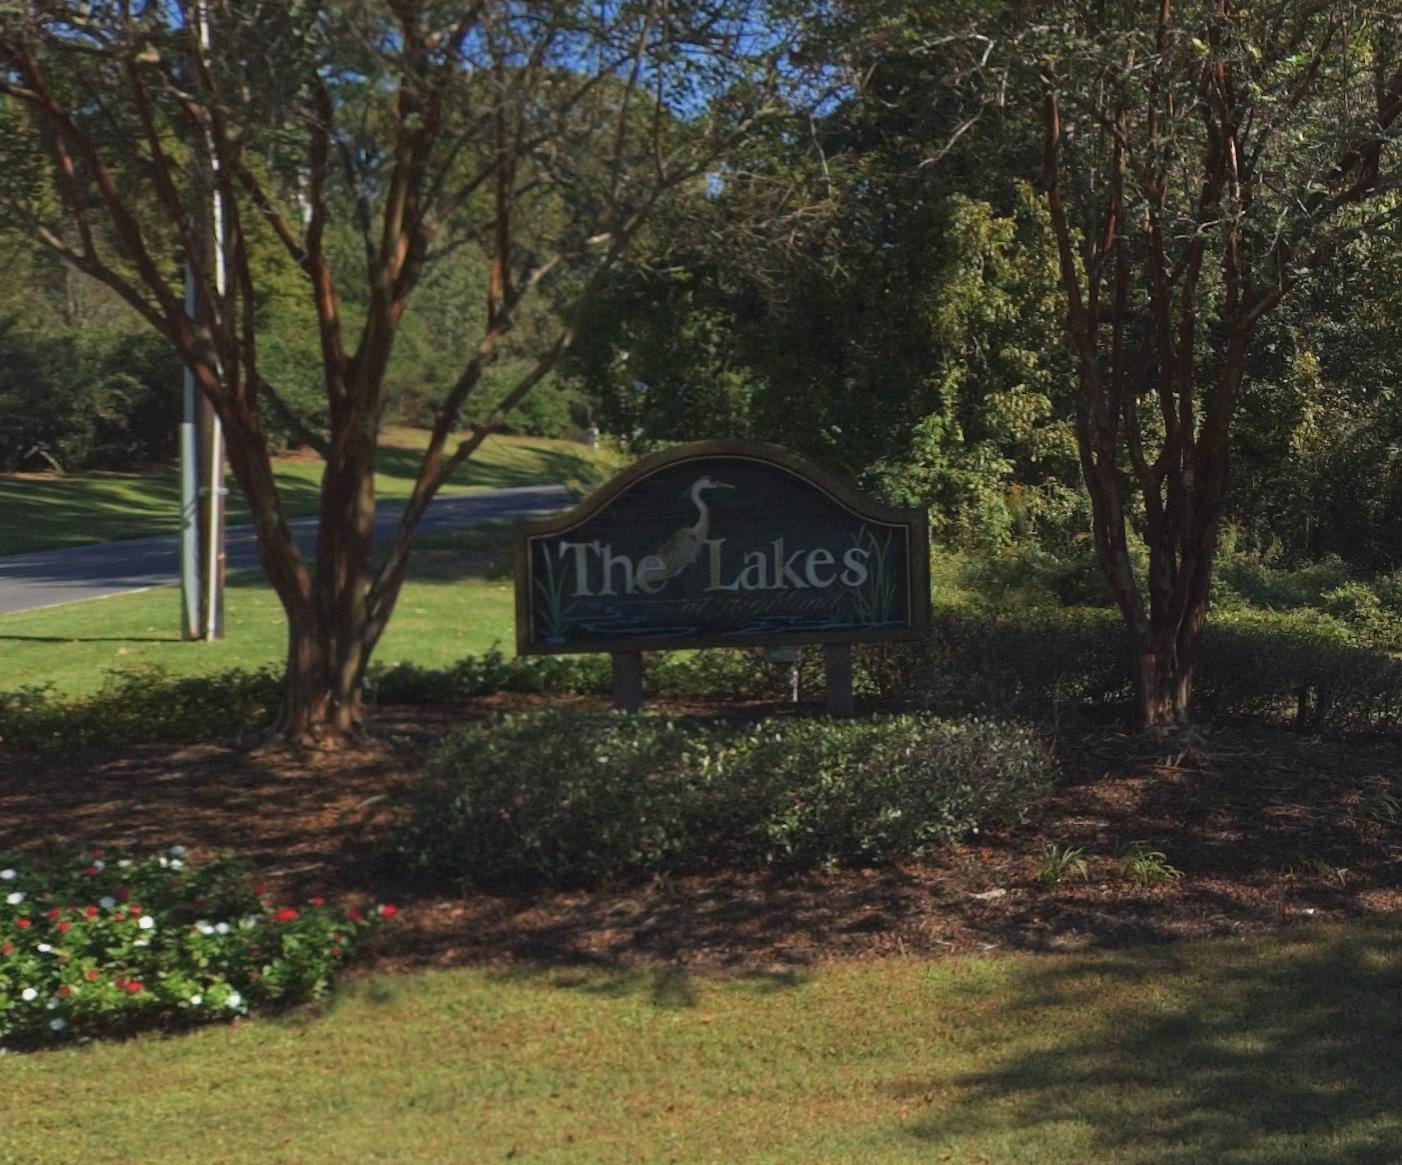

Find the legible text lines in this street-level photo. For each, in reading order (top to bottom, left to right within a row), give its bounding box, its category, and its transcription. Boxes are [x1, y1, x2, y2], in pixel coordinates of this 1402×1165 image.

[557, 534, 871, 599] BusinessName: The Lakes
[676, 588, 849, 630] BusinessName: at Highland